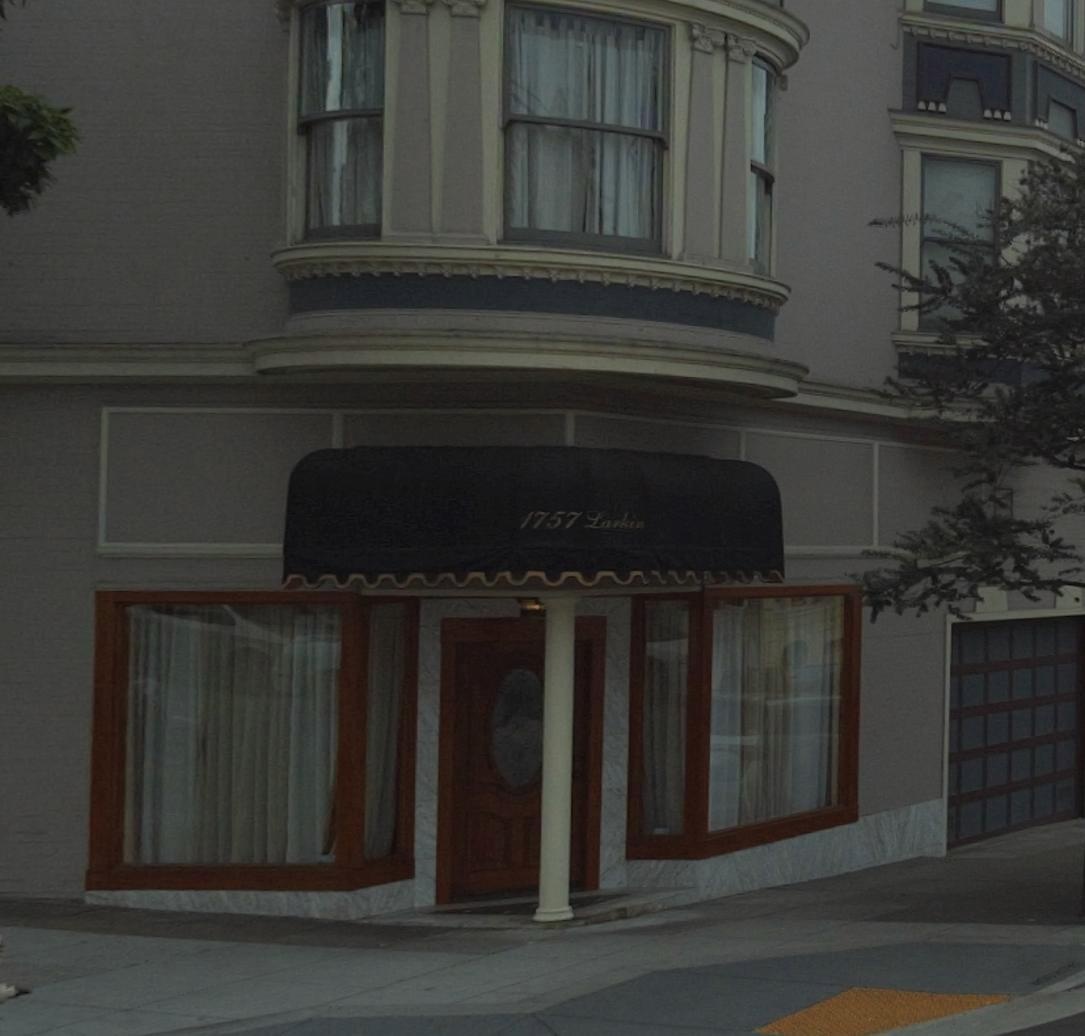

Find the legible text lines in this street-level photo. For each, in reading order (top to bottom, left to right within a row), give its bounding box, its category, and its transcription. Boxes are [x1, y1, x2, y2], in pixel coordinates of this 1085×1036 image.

[514, 508, 589, 533] StreetNumber: 1757
[584, 509, 649, 532] StreetName: Larkin